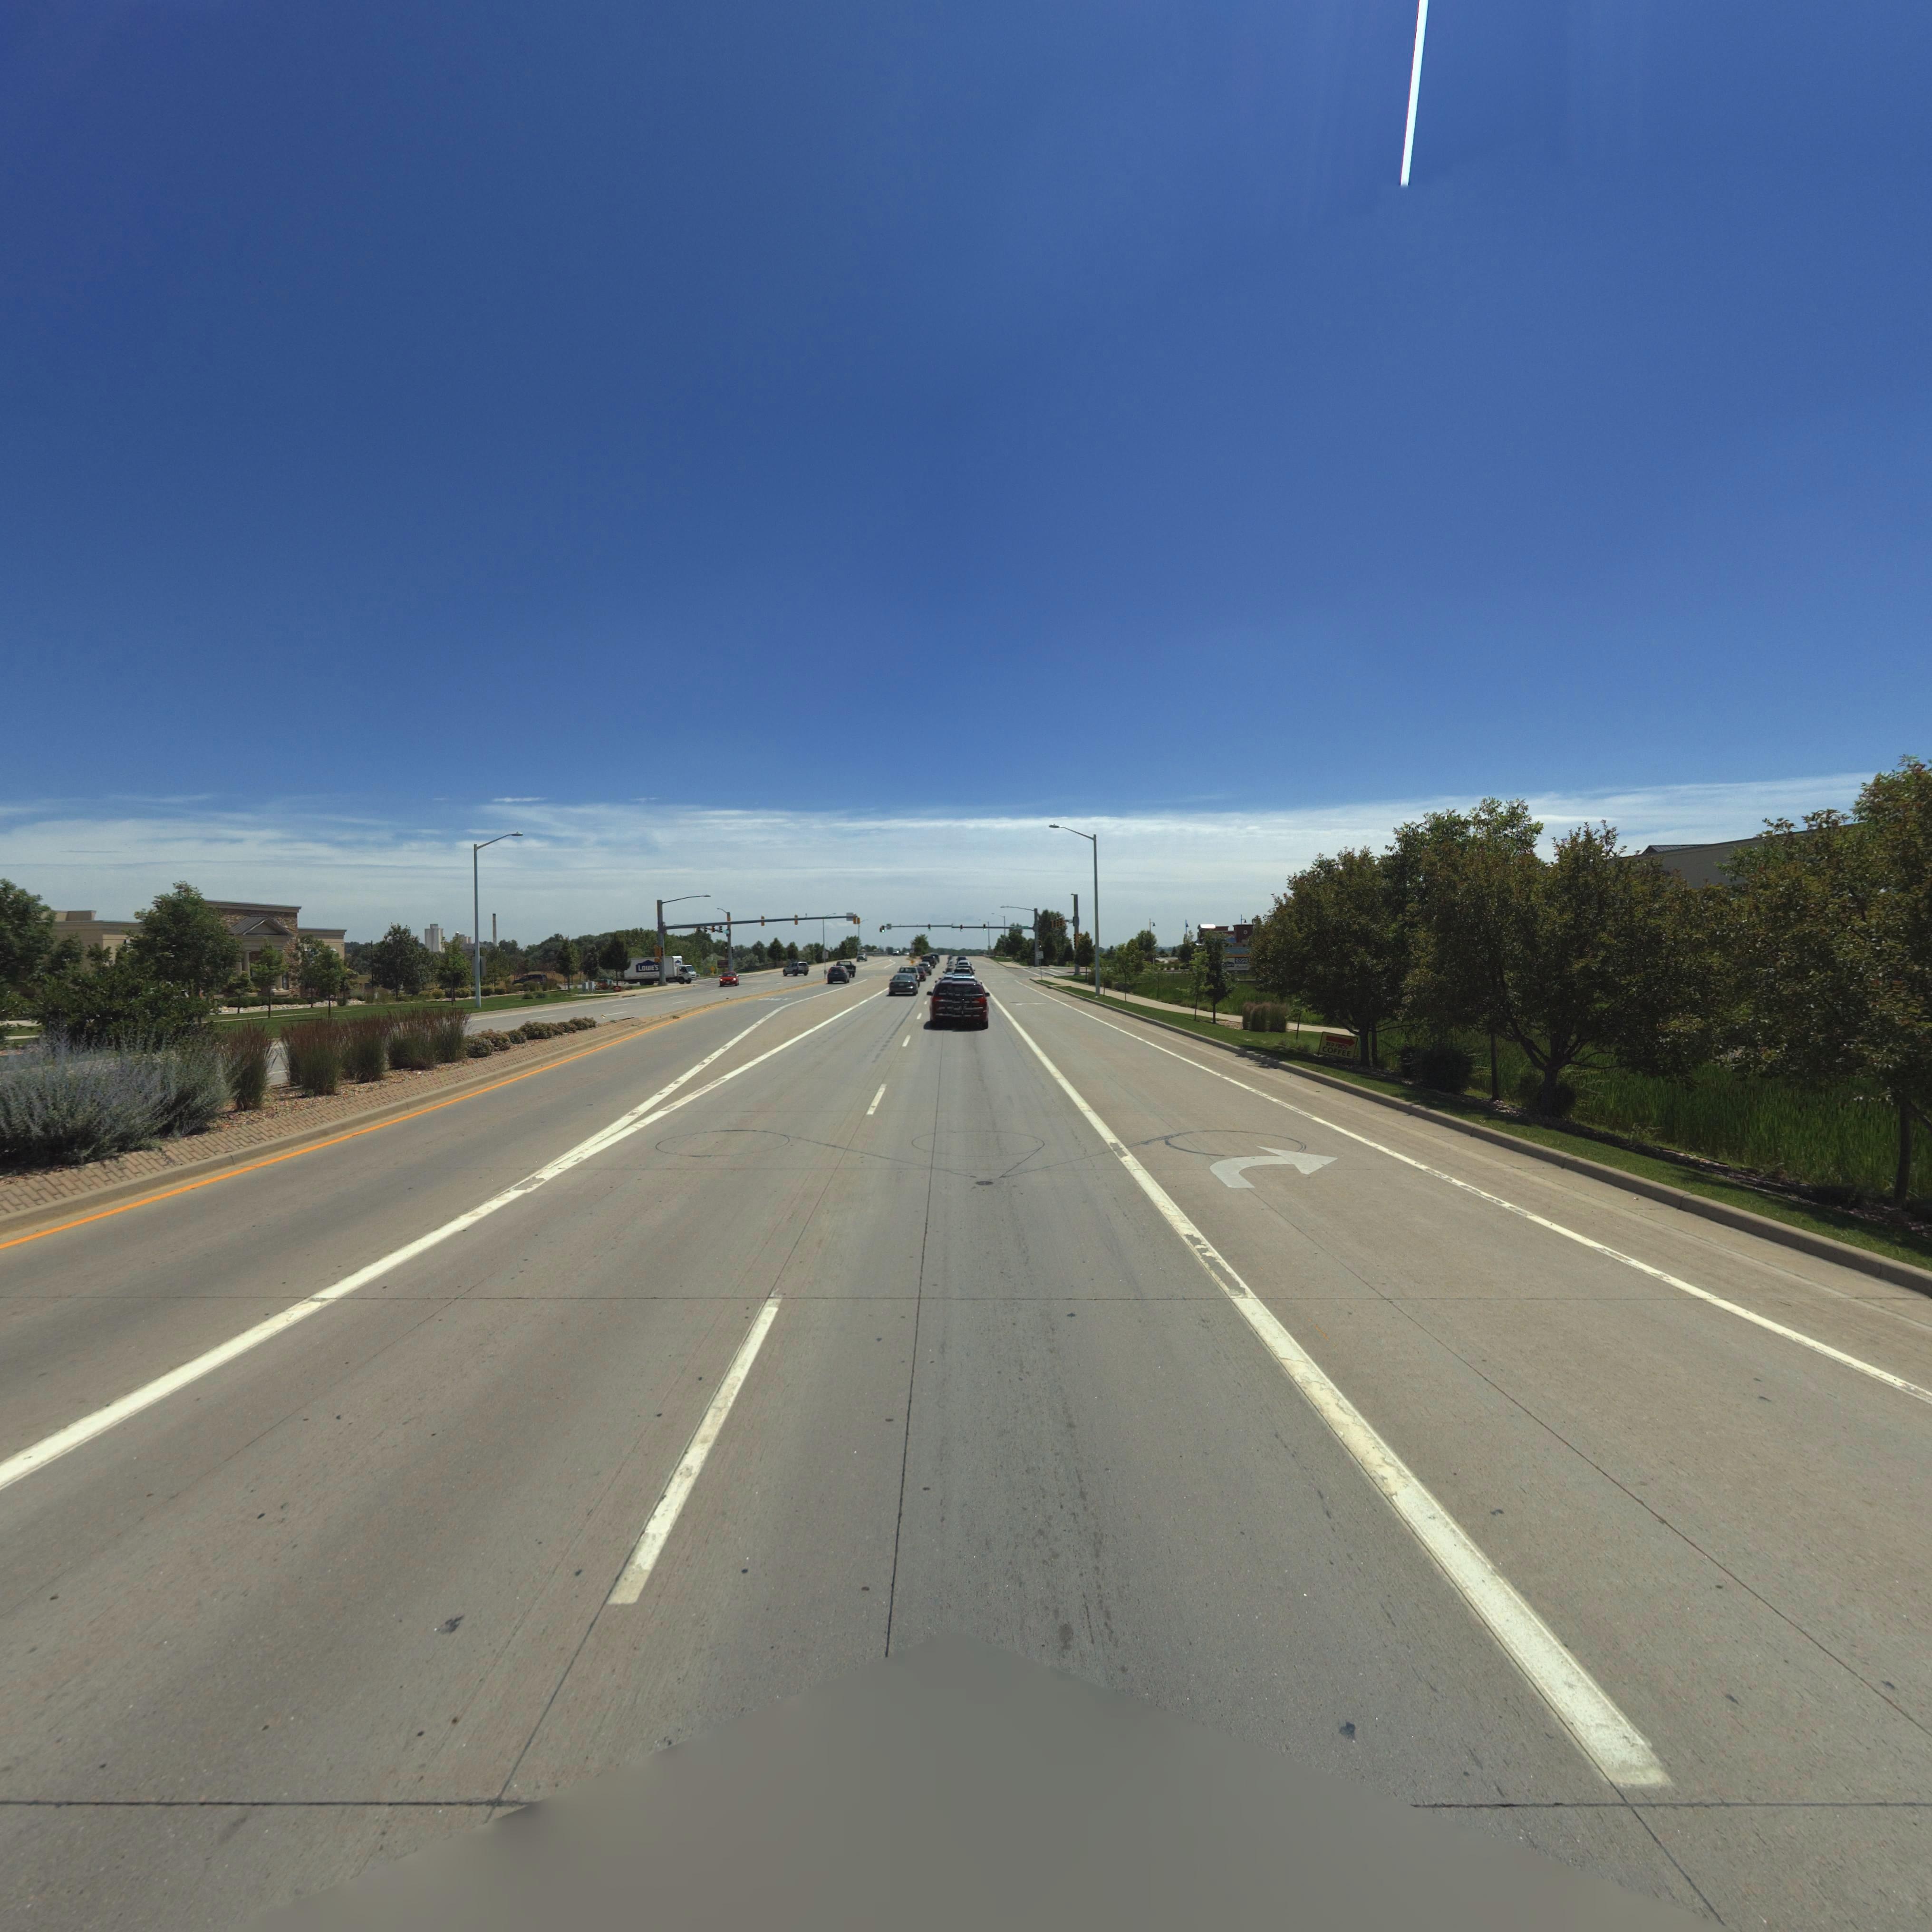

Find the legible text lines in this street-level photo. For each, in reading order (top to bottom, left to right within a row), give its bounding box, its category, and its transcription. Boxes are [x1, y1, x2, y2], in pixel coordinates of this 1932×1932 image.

[1235, 957, 1248, 962] BusinessName: ROSS